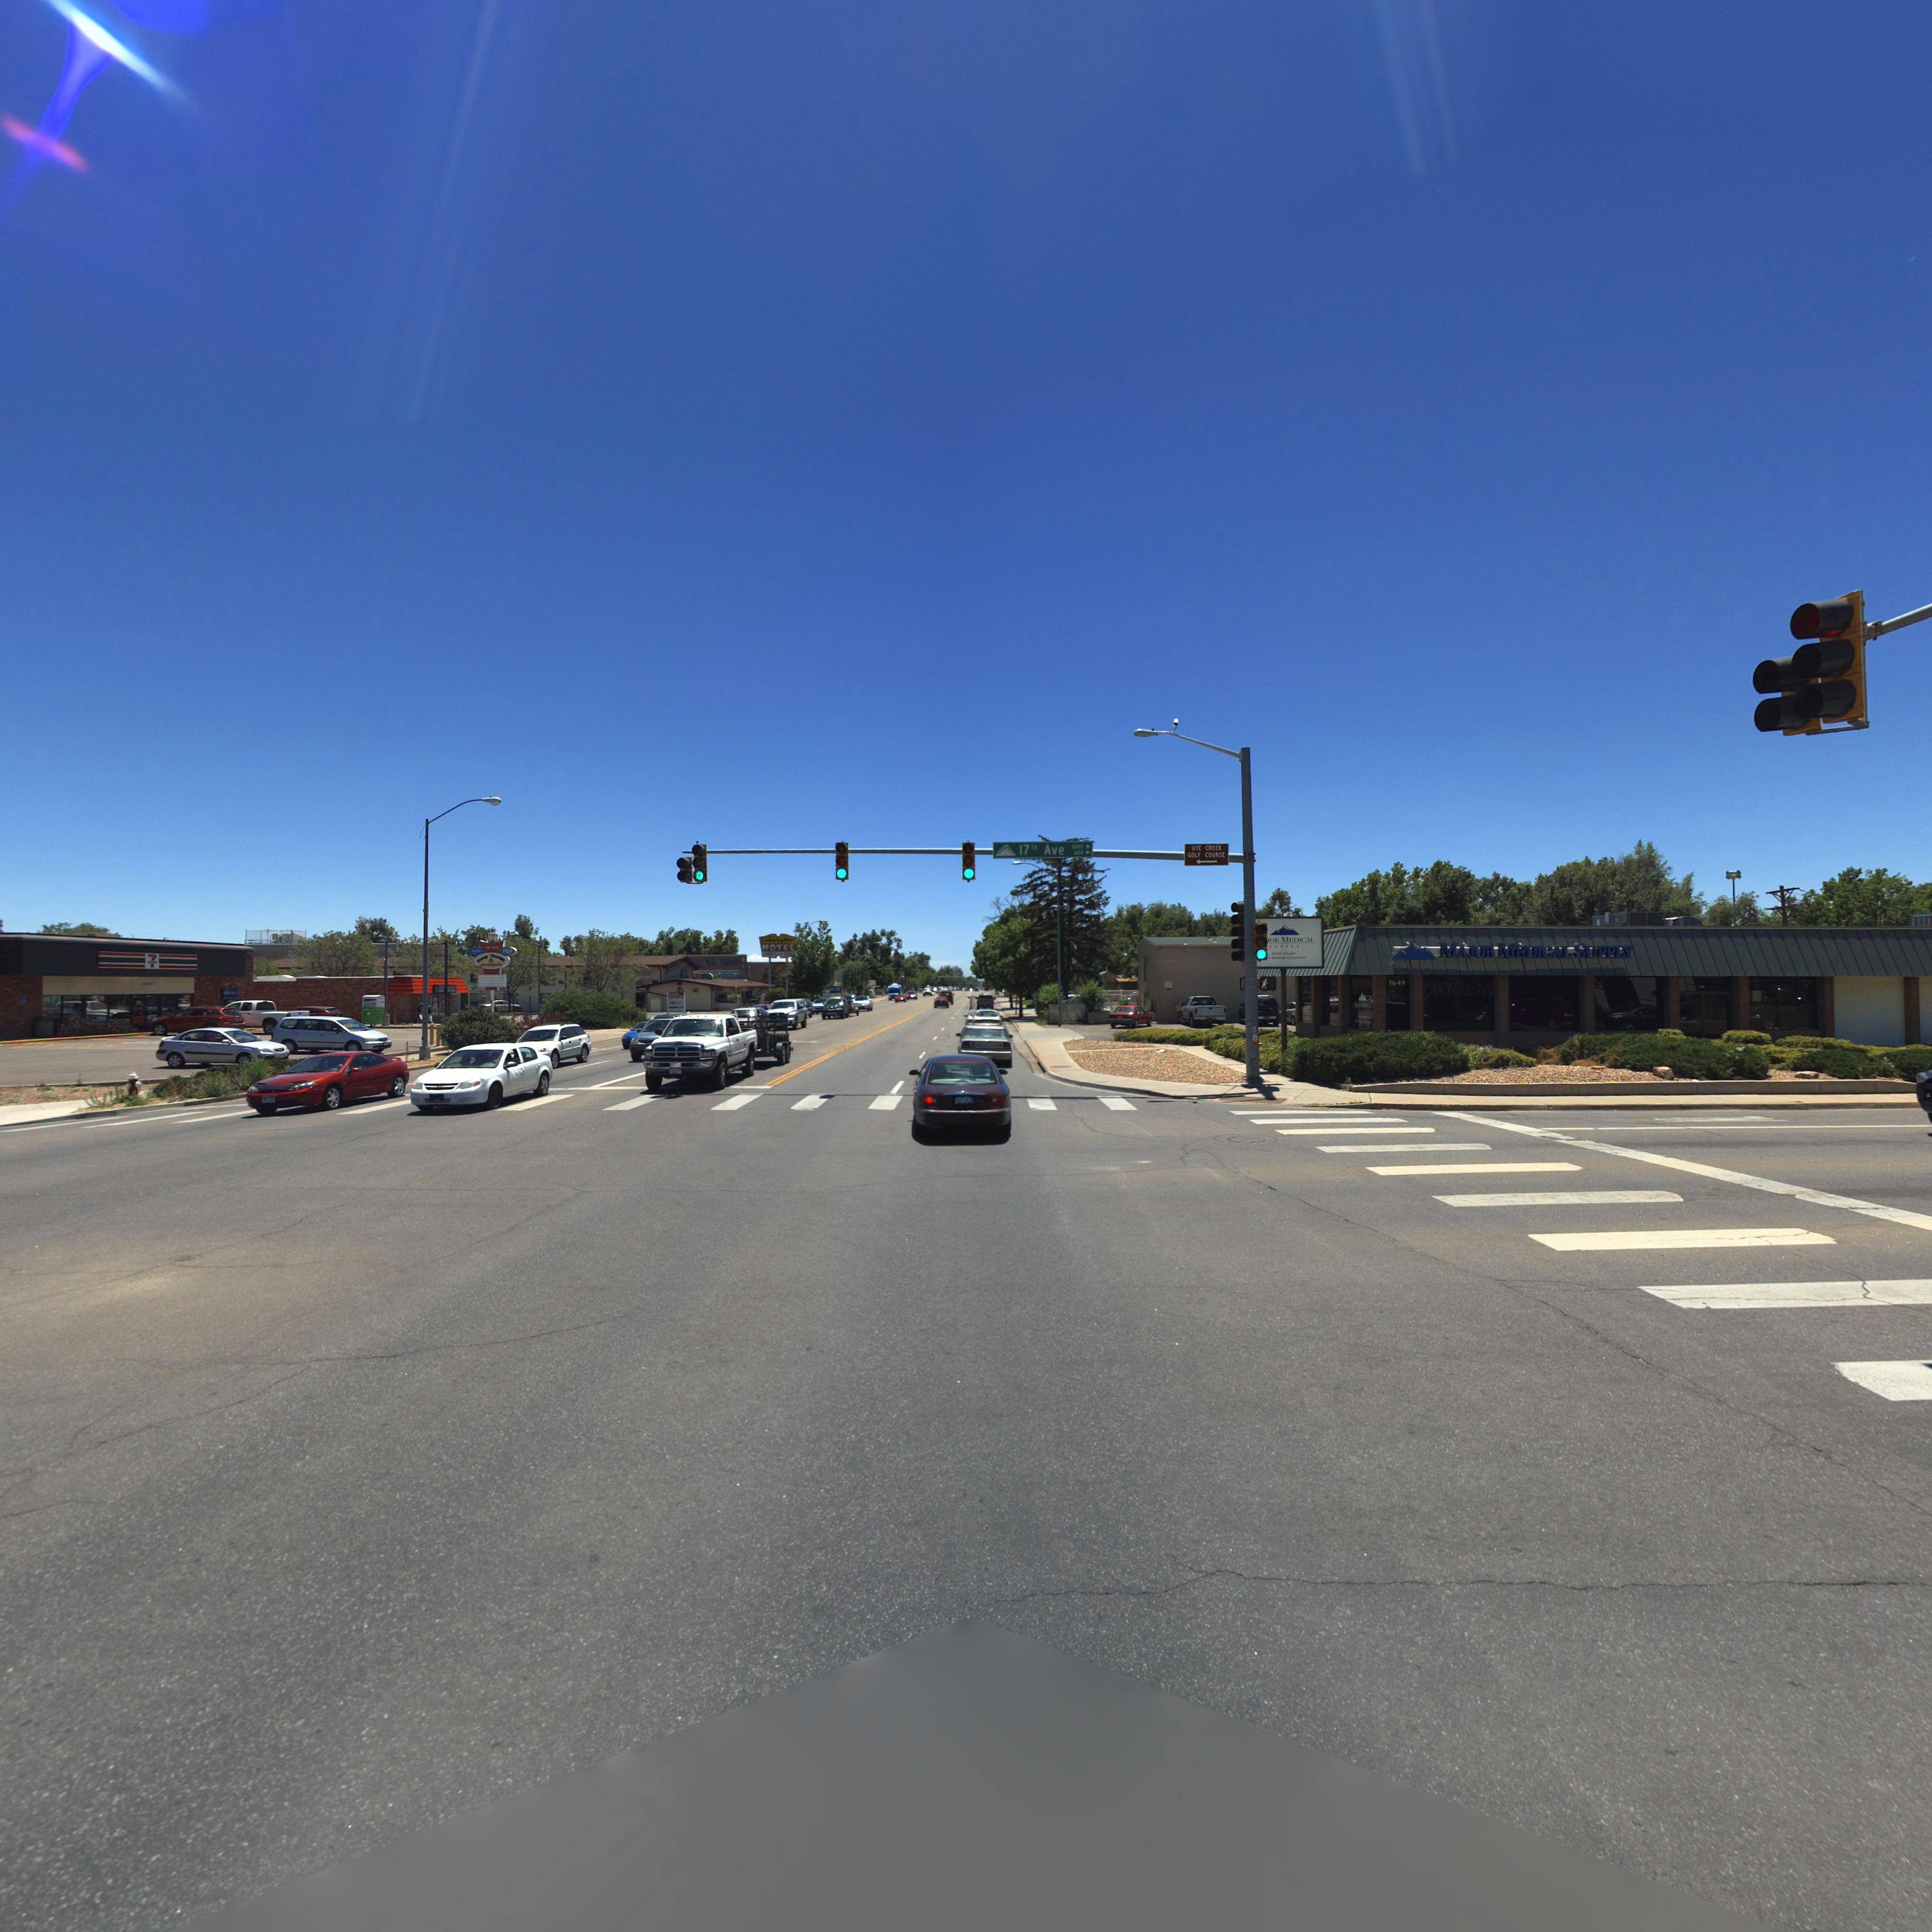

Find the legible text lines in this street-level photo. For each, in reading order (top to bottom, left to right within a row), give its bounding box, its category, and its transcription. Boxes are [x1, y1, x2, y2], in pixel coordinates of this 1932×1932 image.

[1018, 843, 1065, 856] StreetName: 17th Ave
[1072, 843, 1090, 850] StreetNumberRange: 1600
[1073, 850, 1090, 855] StreetNumberRange: 600 ->
[761, 937, 795, 943] BusinessName: Lamplighter
[1266, 936, 1315, 943] BusinessName: JOR MEDICAL
[761, 944, 794, 951] BusinessName: MOTEL
[1268, 944, 1299, 948] BusinessName: SUPPLY
[1437, 941, 1634, 959] BusinessName: MAJOR MEDICAL SUPPLY
[148, 953, 157, 968] BusinessName: 7
[476, 954, 505, 963] BusinessName: Group Therapy
[693, 959, 715, 966] BusinessName: **G 5
[1388, 979, 1405, 986] StreetNumber: 1649
[1353, 1002, 1372, 1008] BusinessName: M**** M******